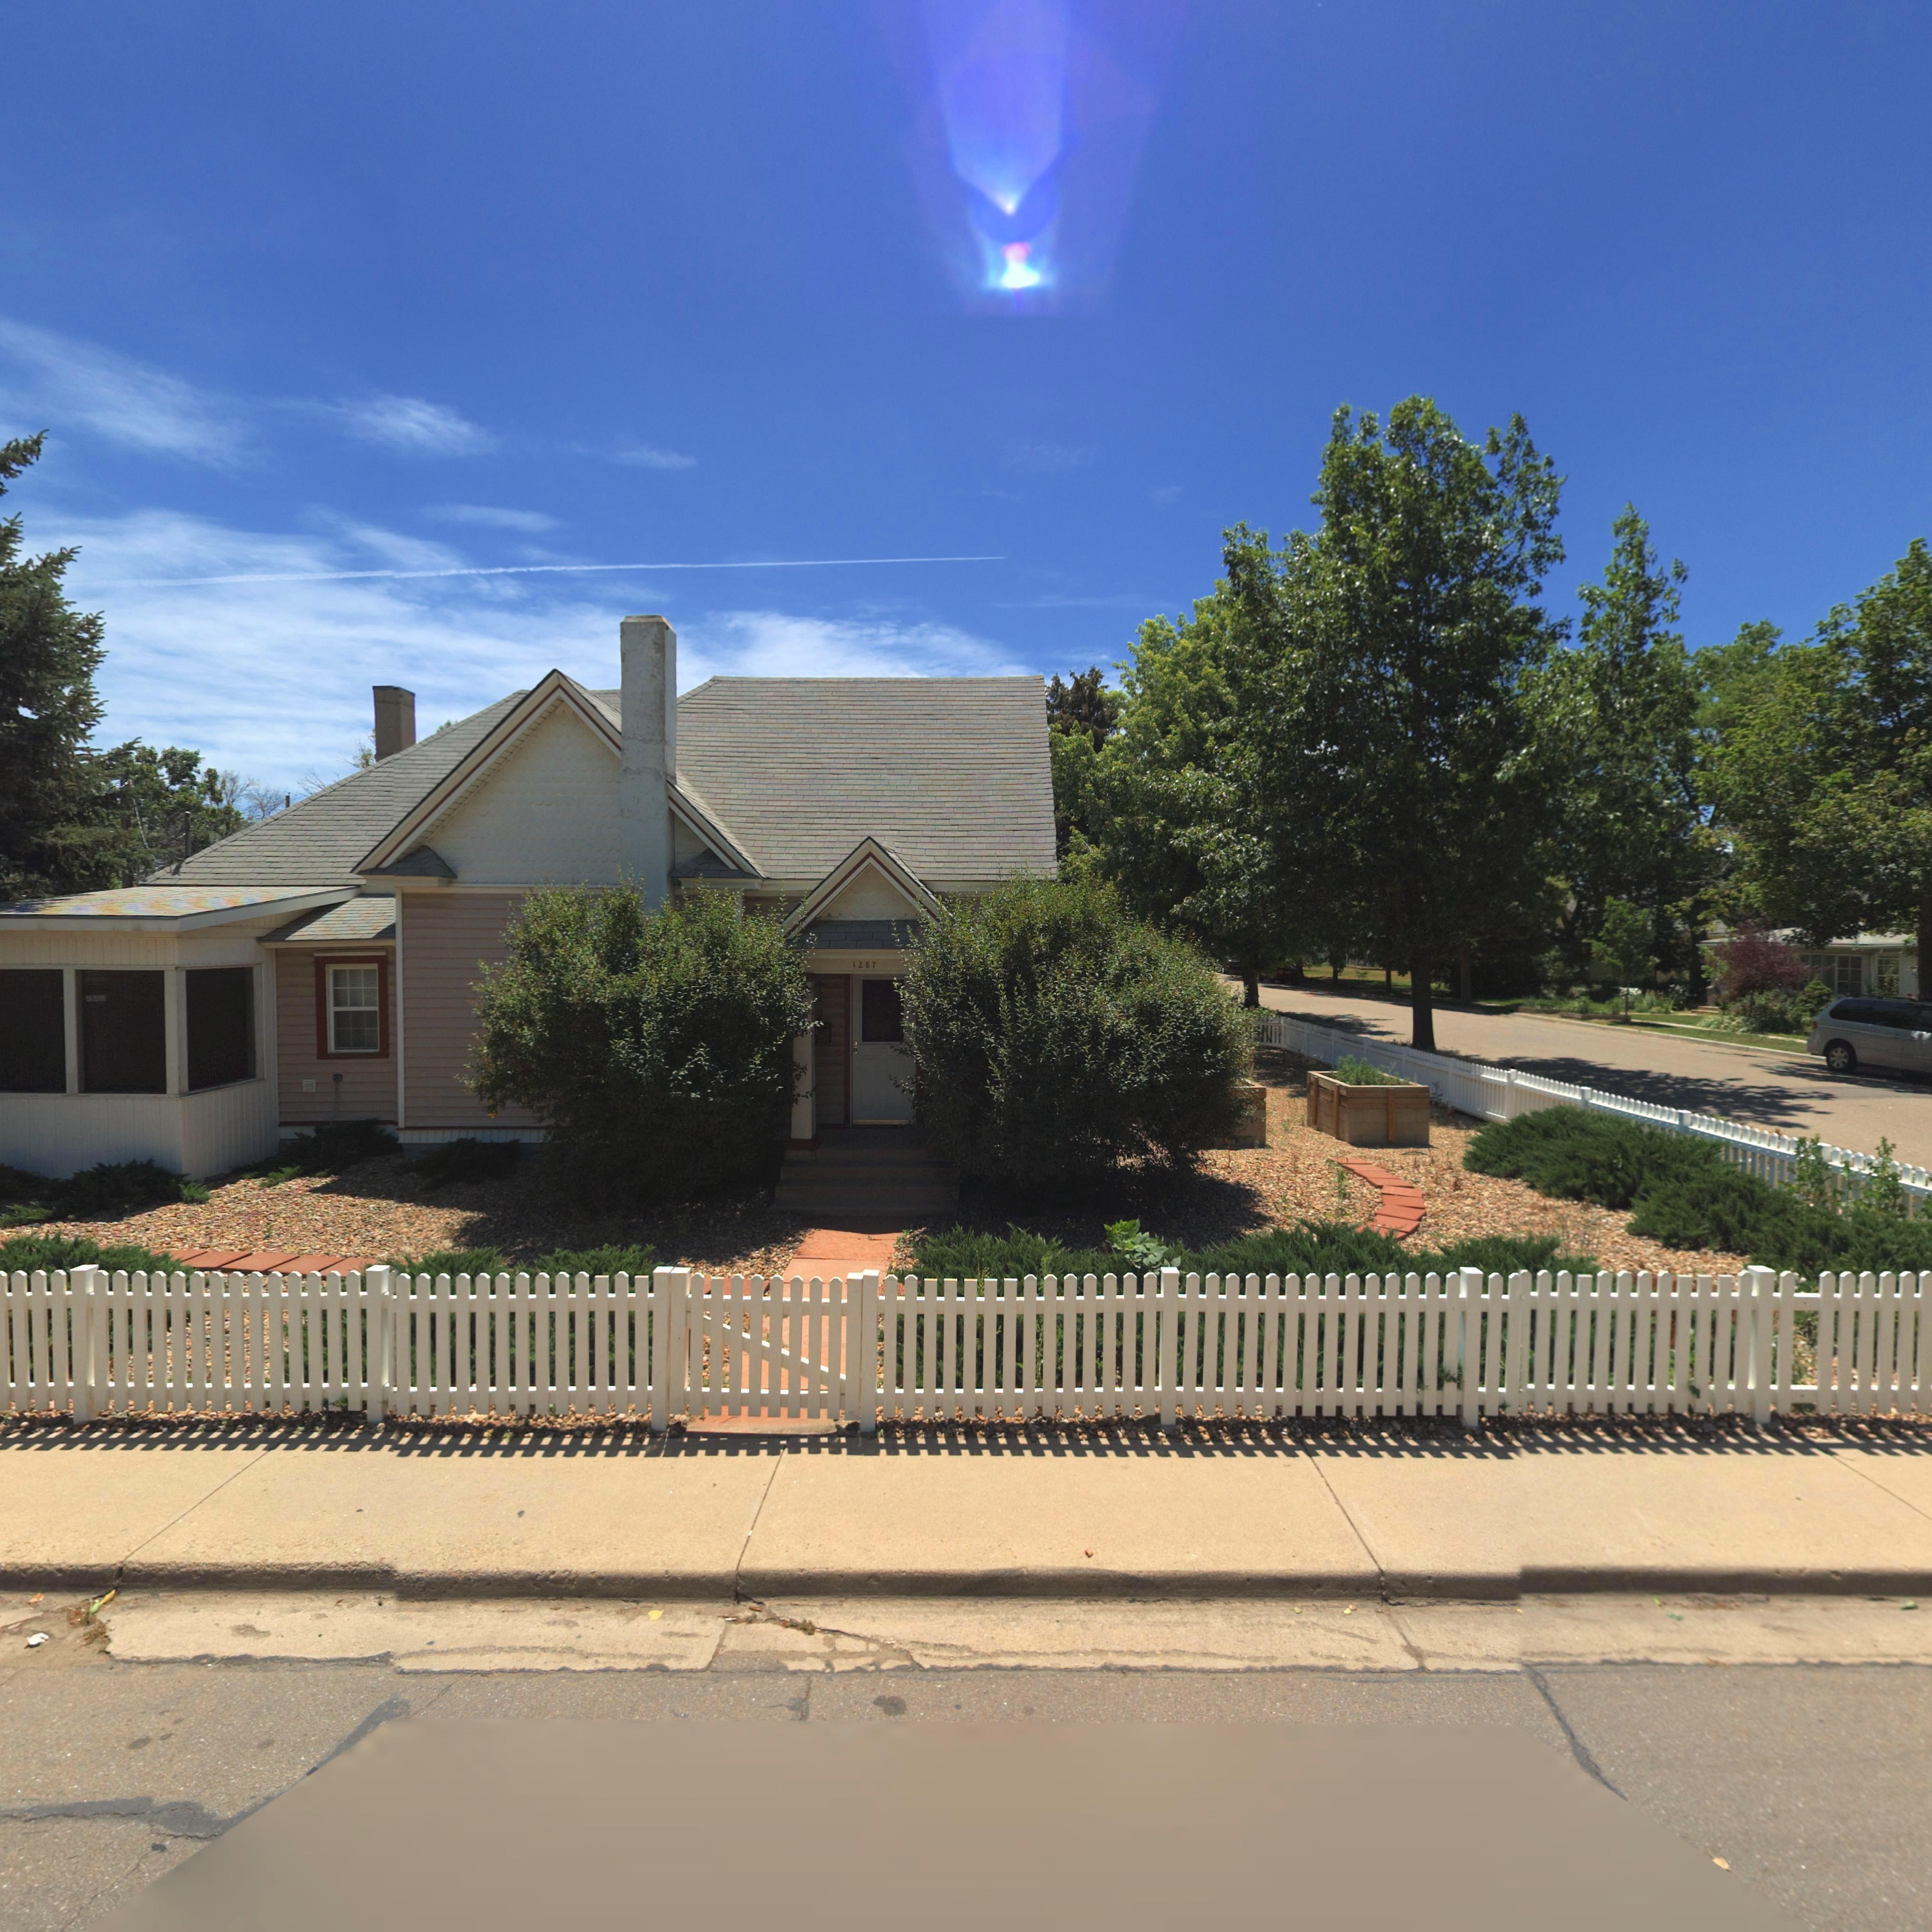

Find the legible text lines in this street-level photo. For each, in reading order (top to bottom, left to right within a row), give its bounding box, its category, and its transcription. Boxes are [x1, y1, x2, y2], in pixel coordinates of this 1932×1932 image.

[853, 961, 876, 968] StreetNumber: 1287